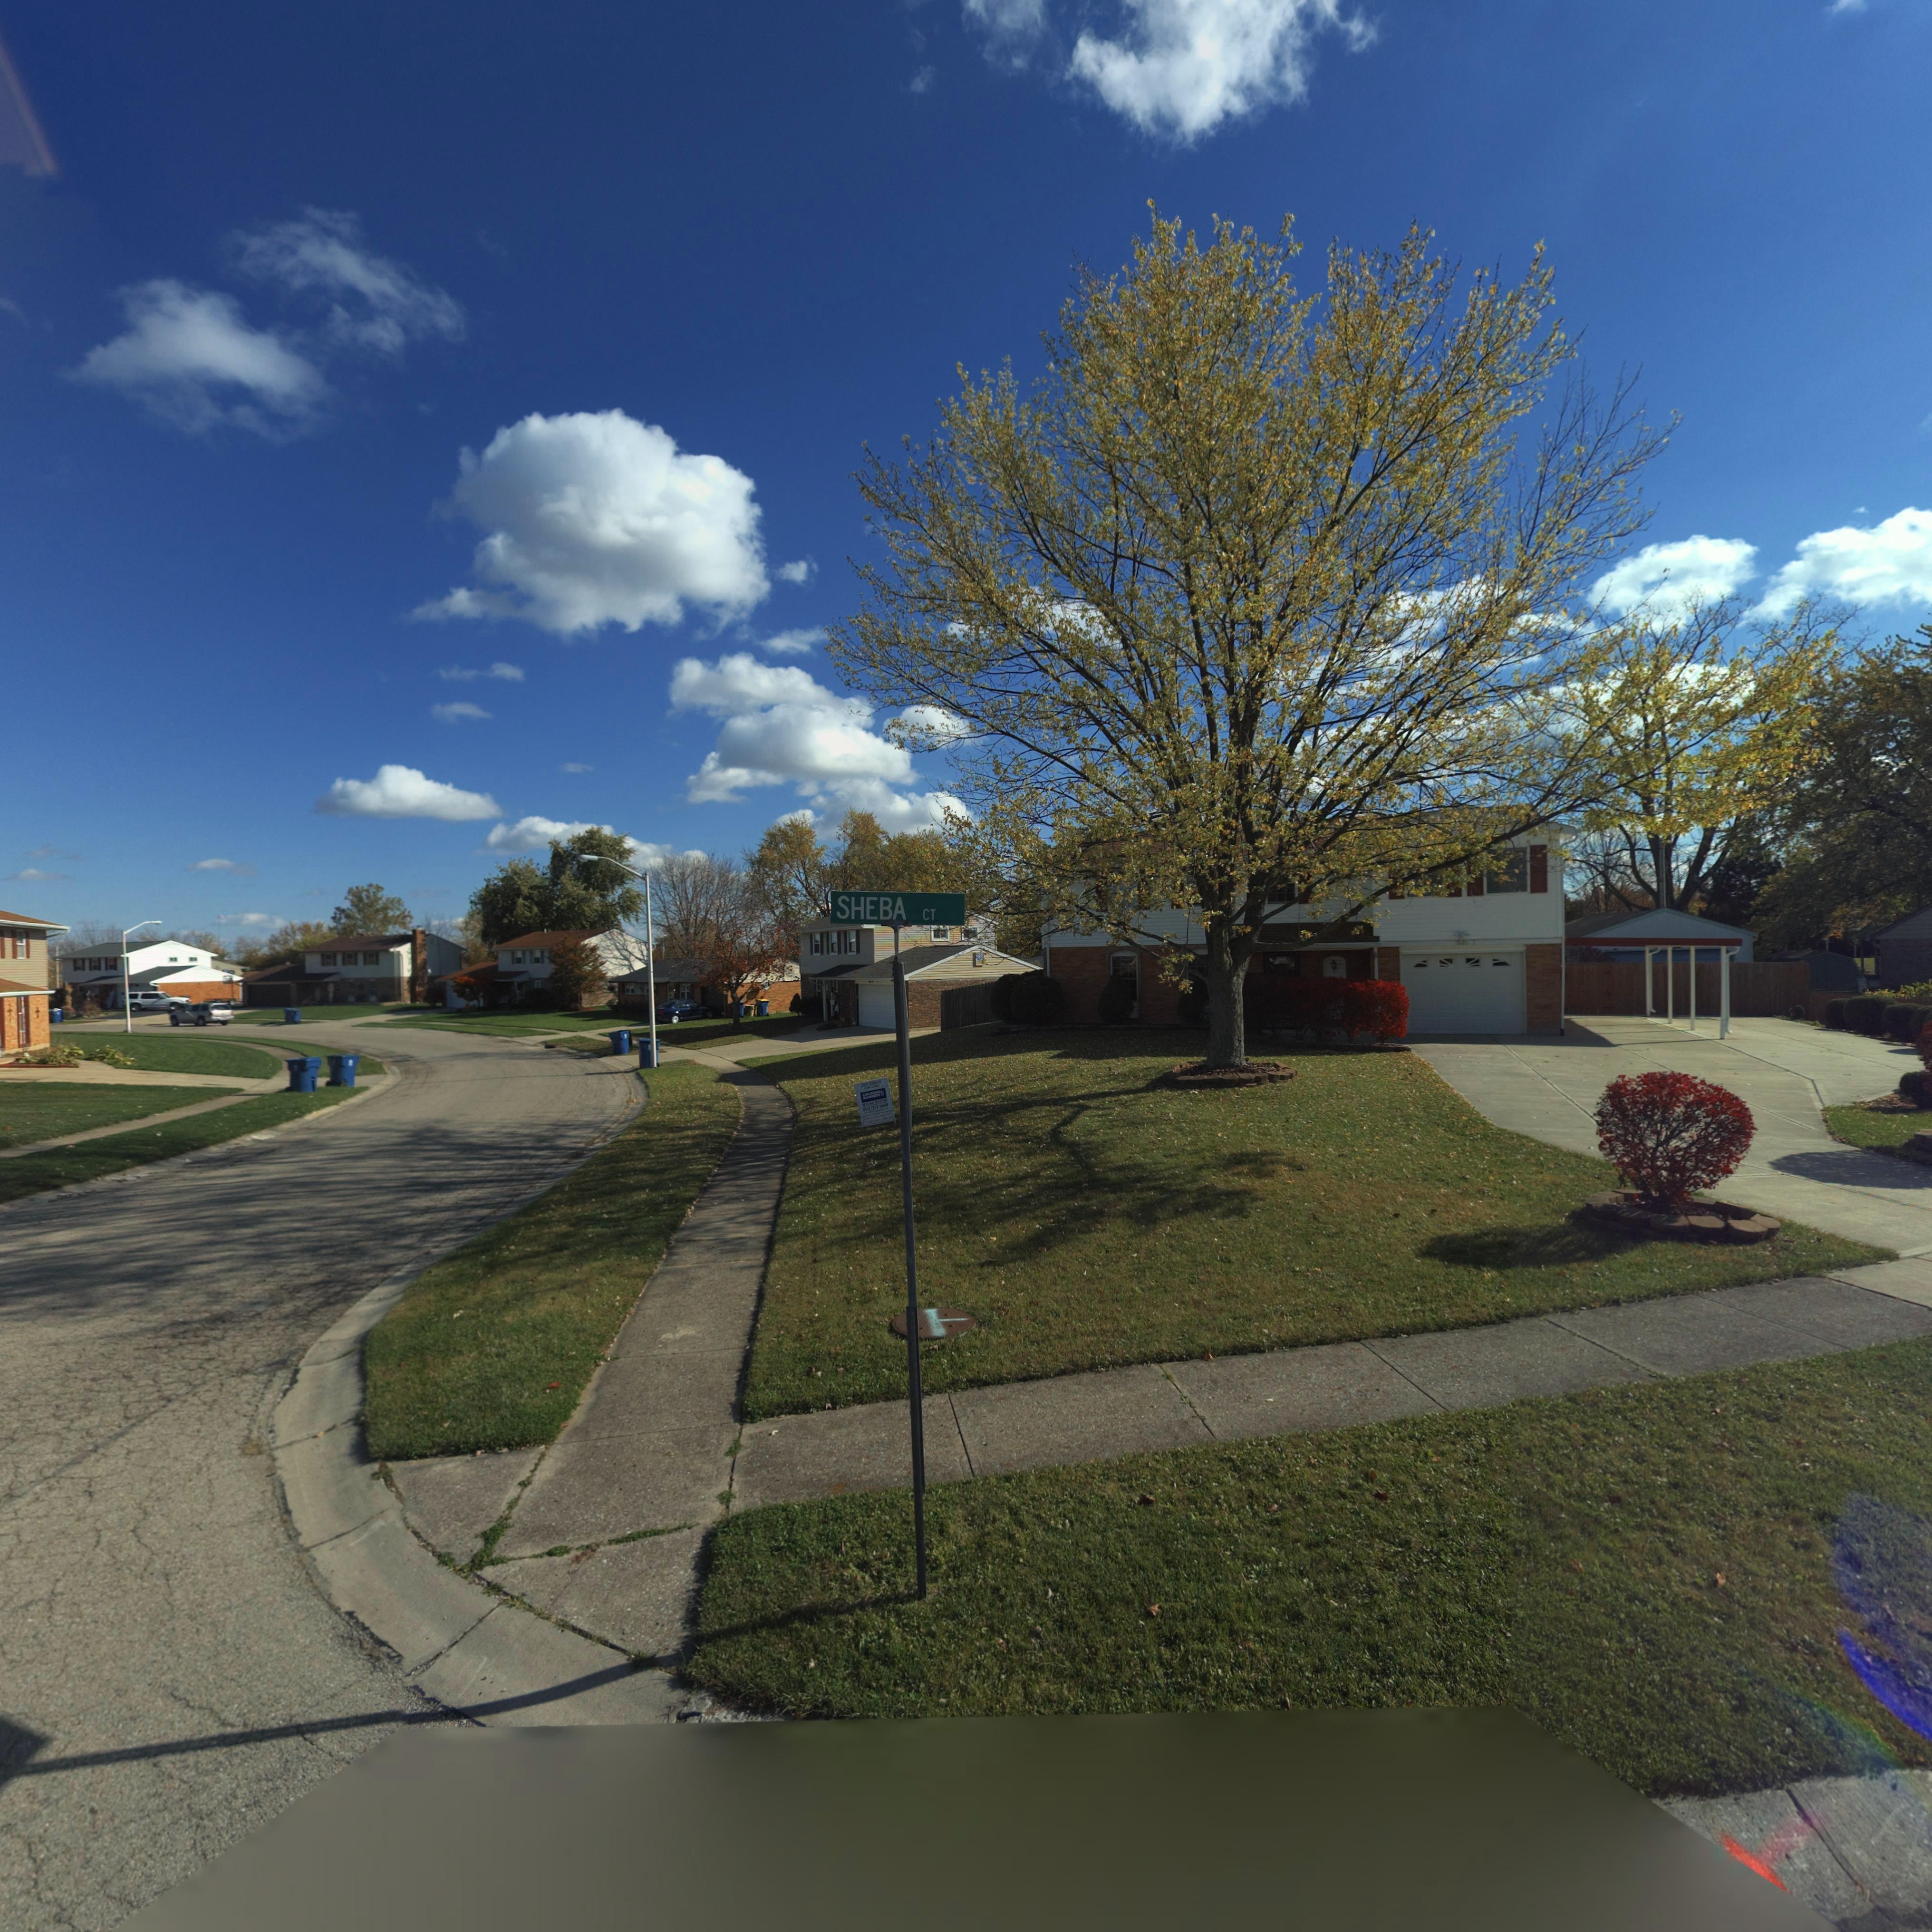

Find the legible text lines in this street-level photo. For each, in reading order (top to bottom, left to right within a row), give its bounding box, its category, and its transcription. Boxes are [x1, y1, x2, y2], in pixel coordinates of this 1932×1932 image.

[835, 894, 938, 922] StreetName: SHEBA CT
[1454, 939, 1469, 946] StreetNumber: ***0